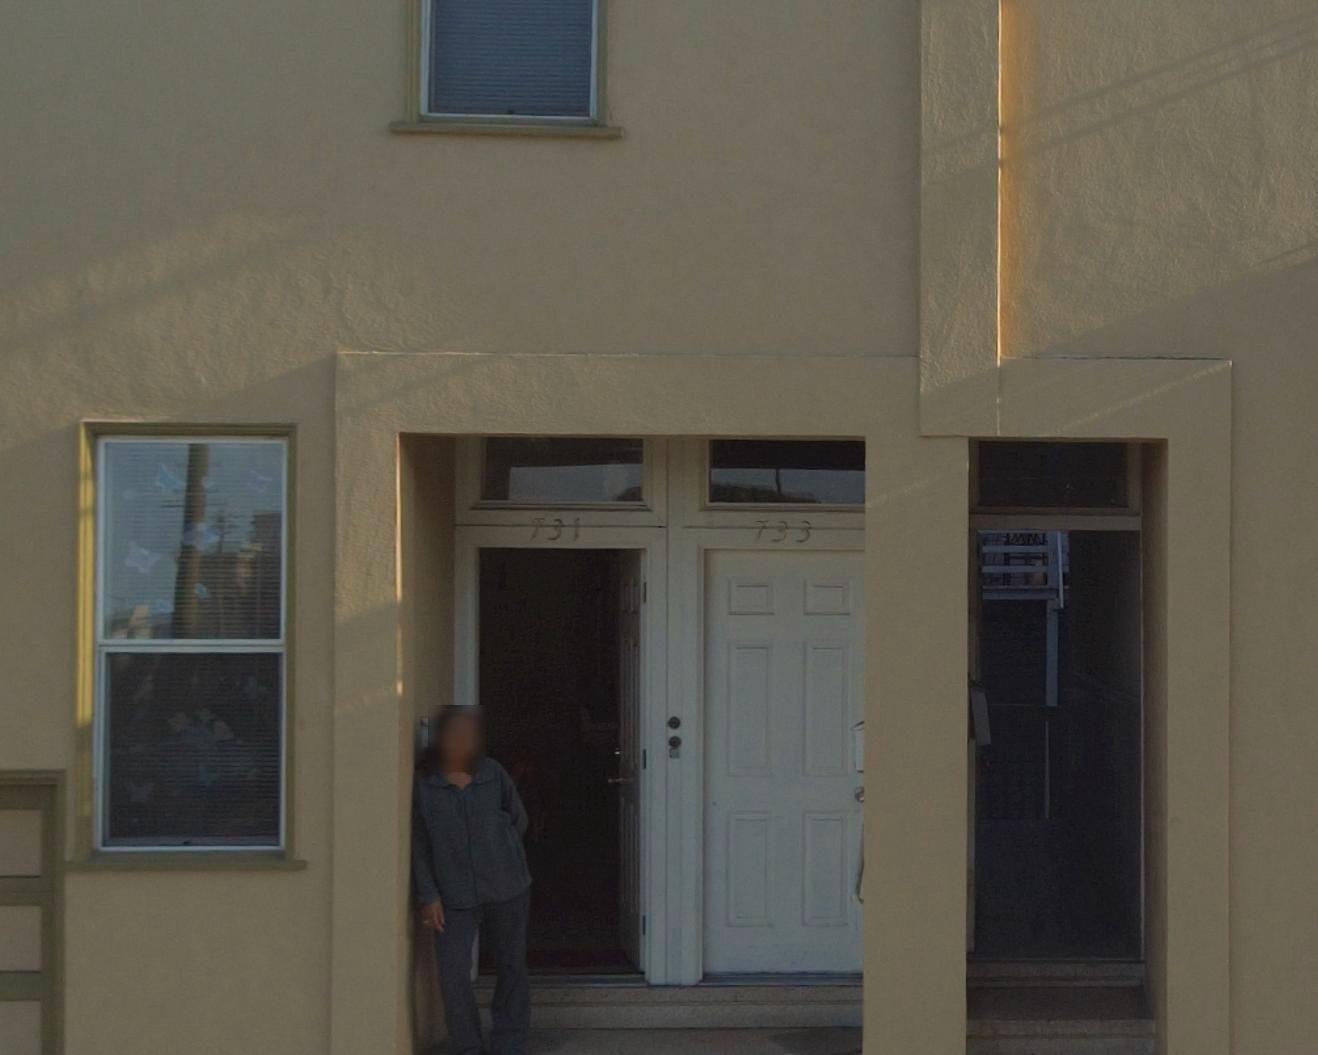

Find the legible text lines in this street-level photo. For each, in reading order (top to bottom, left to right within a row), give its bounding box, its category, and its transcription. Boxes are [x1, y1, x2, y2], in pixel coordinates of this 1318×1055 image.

[526, 514, 583, 544] StreetNumber: 731
[752, 516, 813, 545] StreetNumber: 733